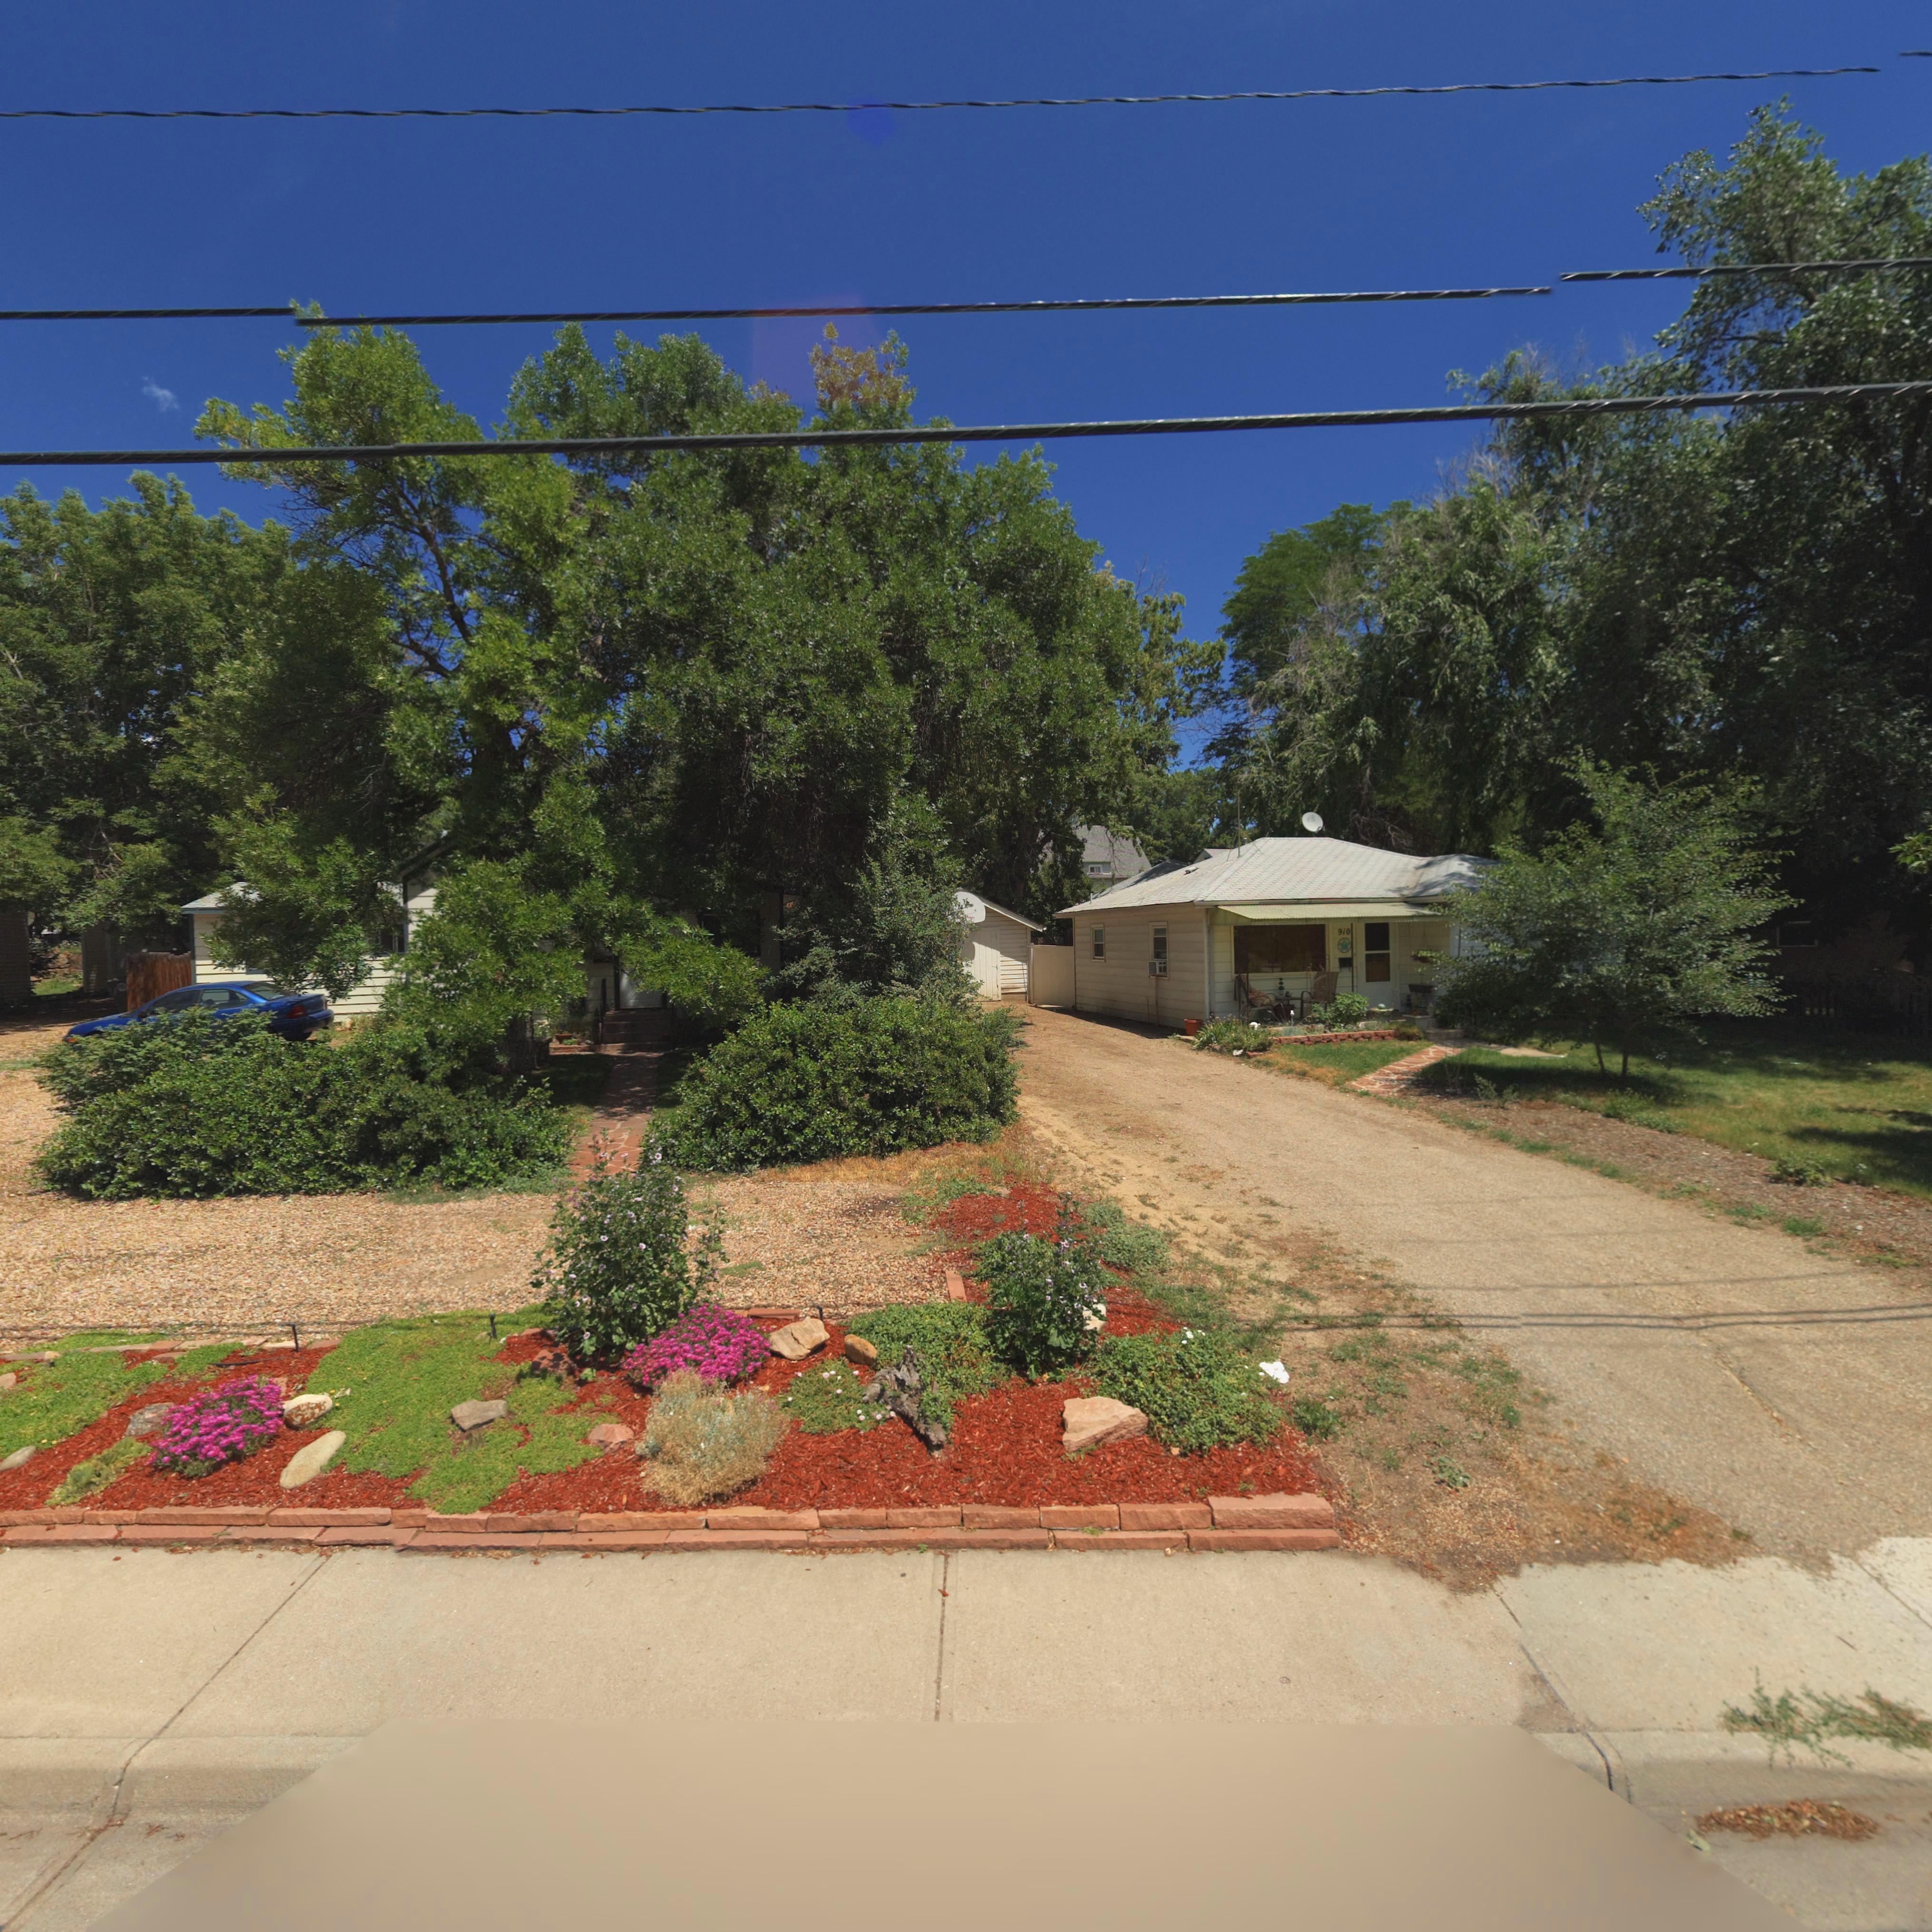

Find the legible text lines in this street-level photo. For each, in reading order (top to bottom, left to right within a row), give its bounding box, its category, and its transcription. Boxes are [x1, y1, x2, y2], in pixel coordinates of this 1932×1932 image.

[1338, 927, 1351, 935] StreetNumber: 910